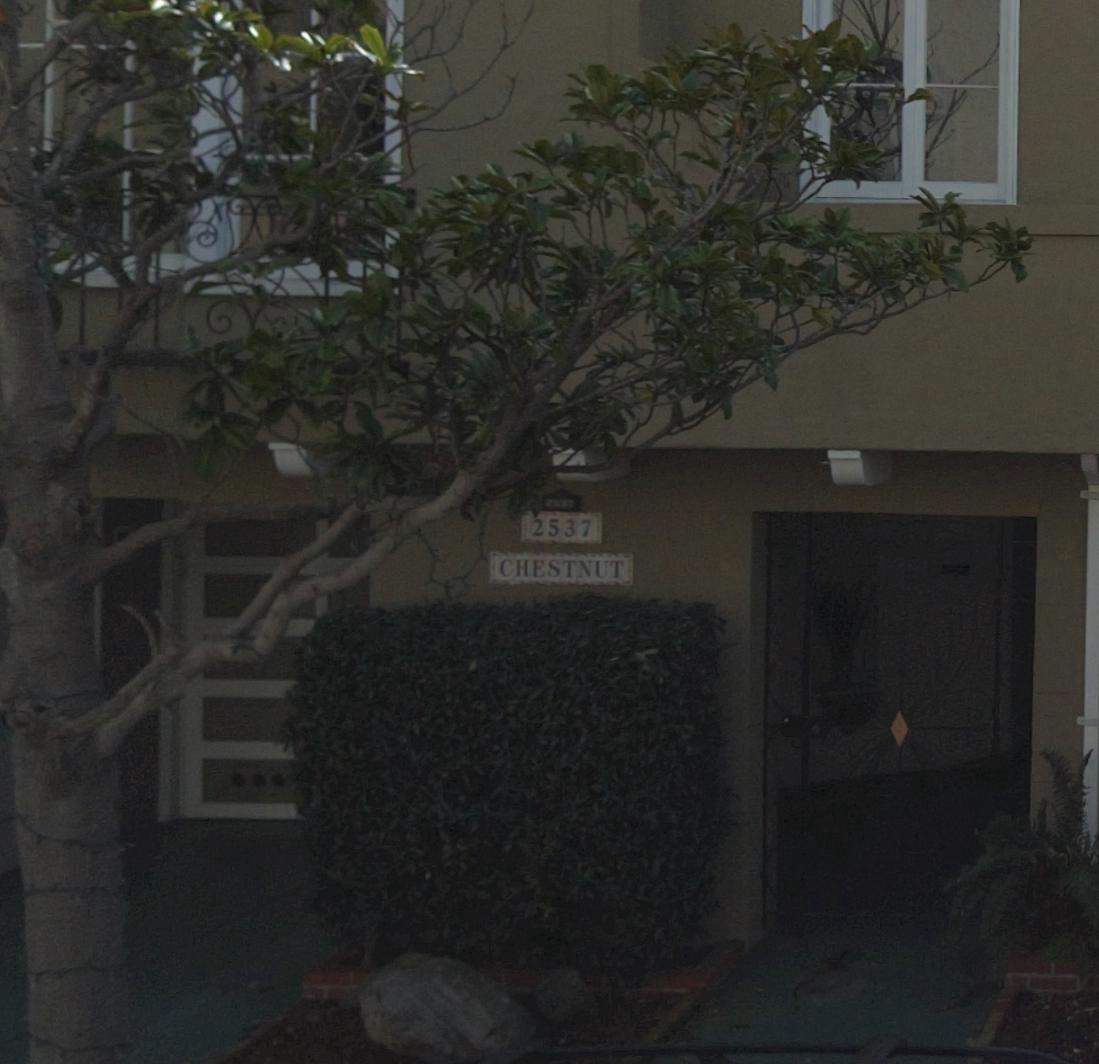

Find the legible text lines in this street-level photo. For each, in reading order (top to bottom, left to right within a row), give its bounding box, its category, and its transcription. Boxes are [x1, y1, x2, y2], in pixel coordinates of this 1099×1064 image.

[529, 515, 598, 541] StreetNumber: 2537
[495, 556, 628, 582] StreetName: CHESTNUT